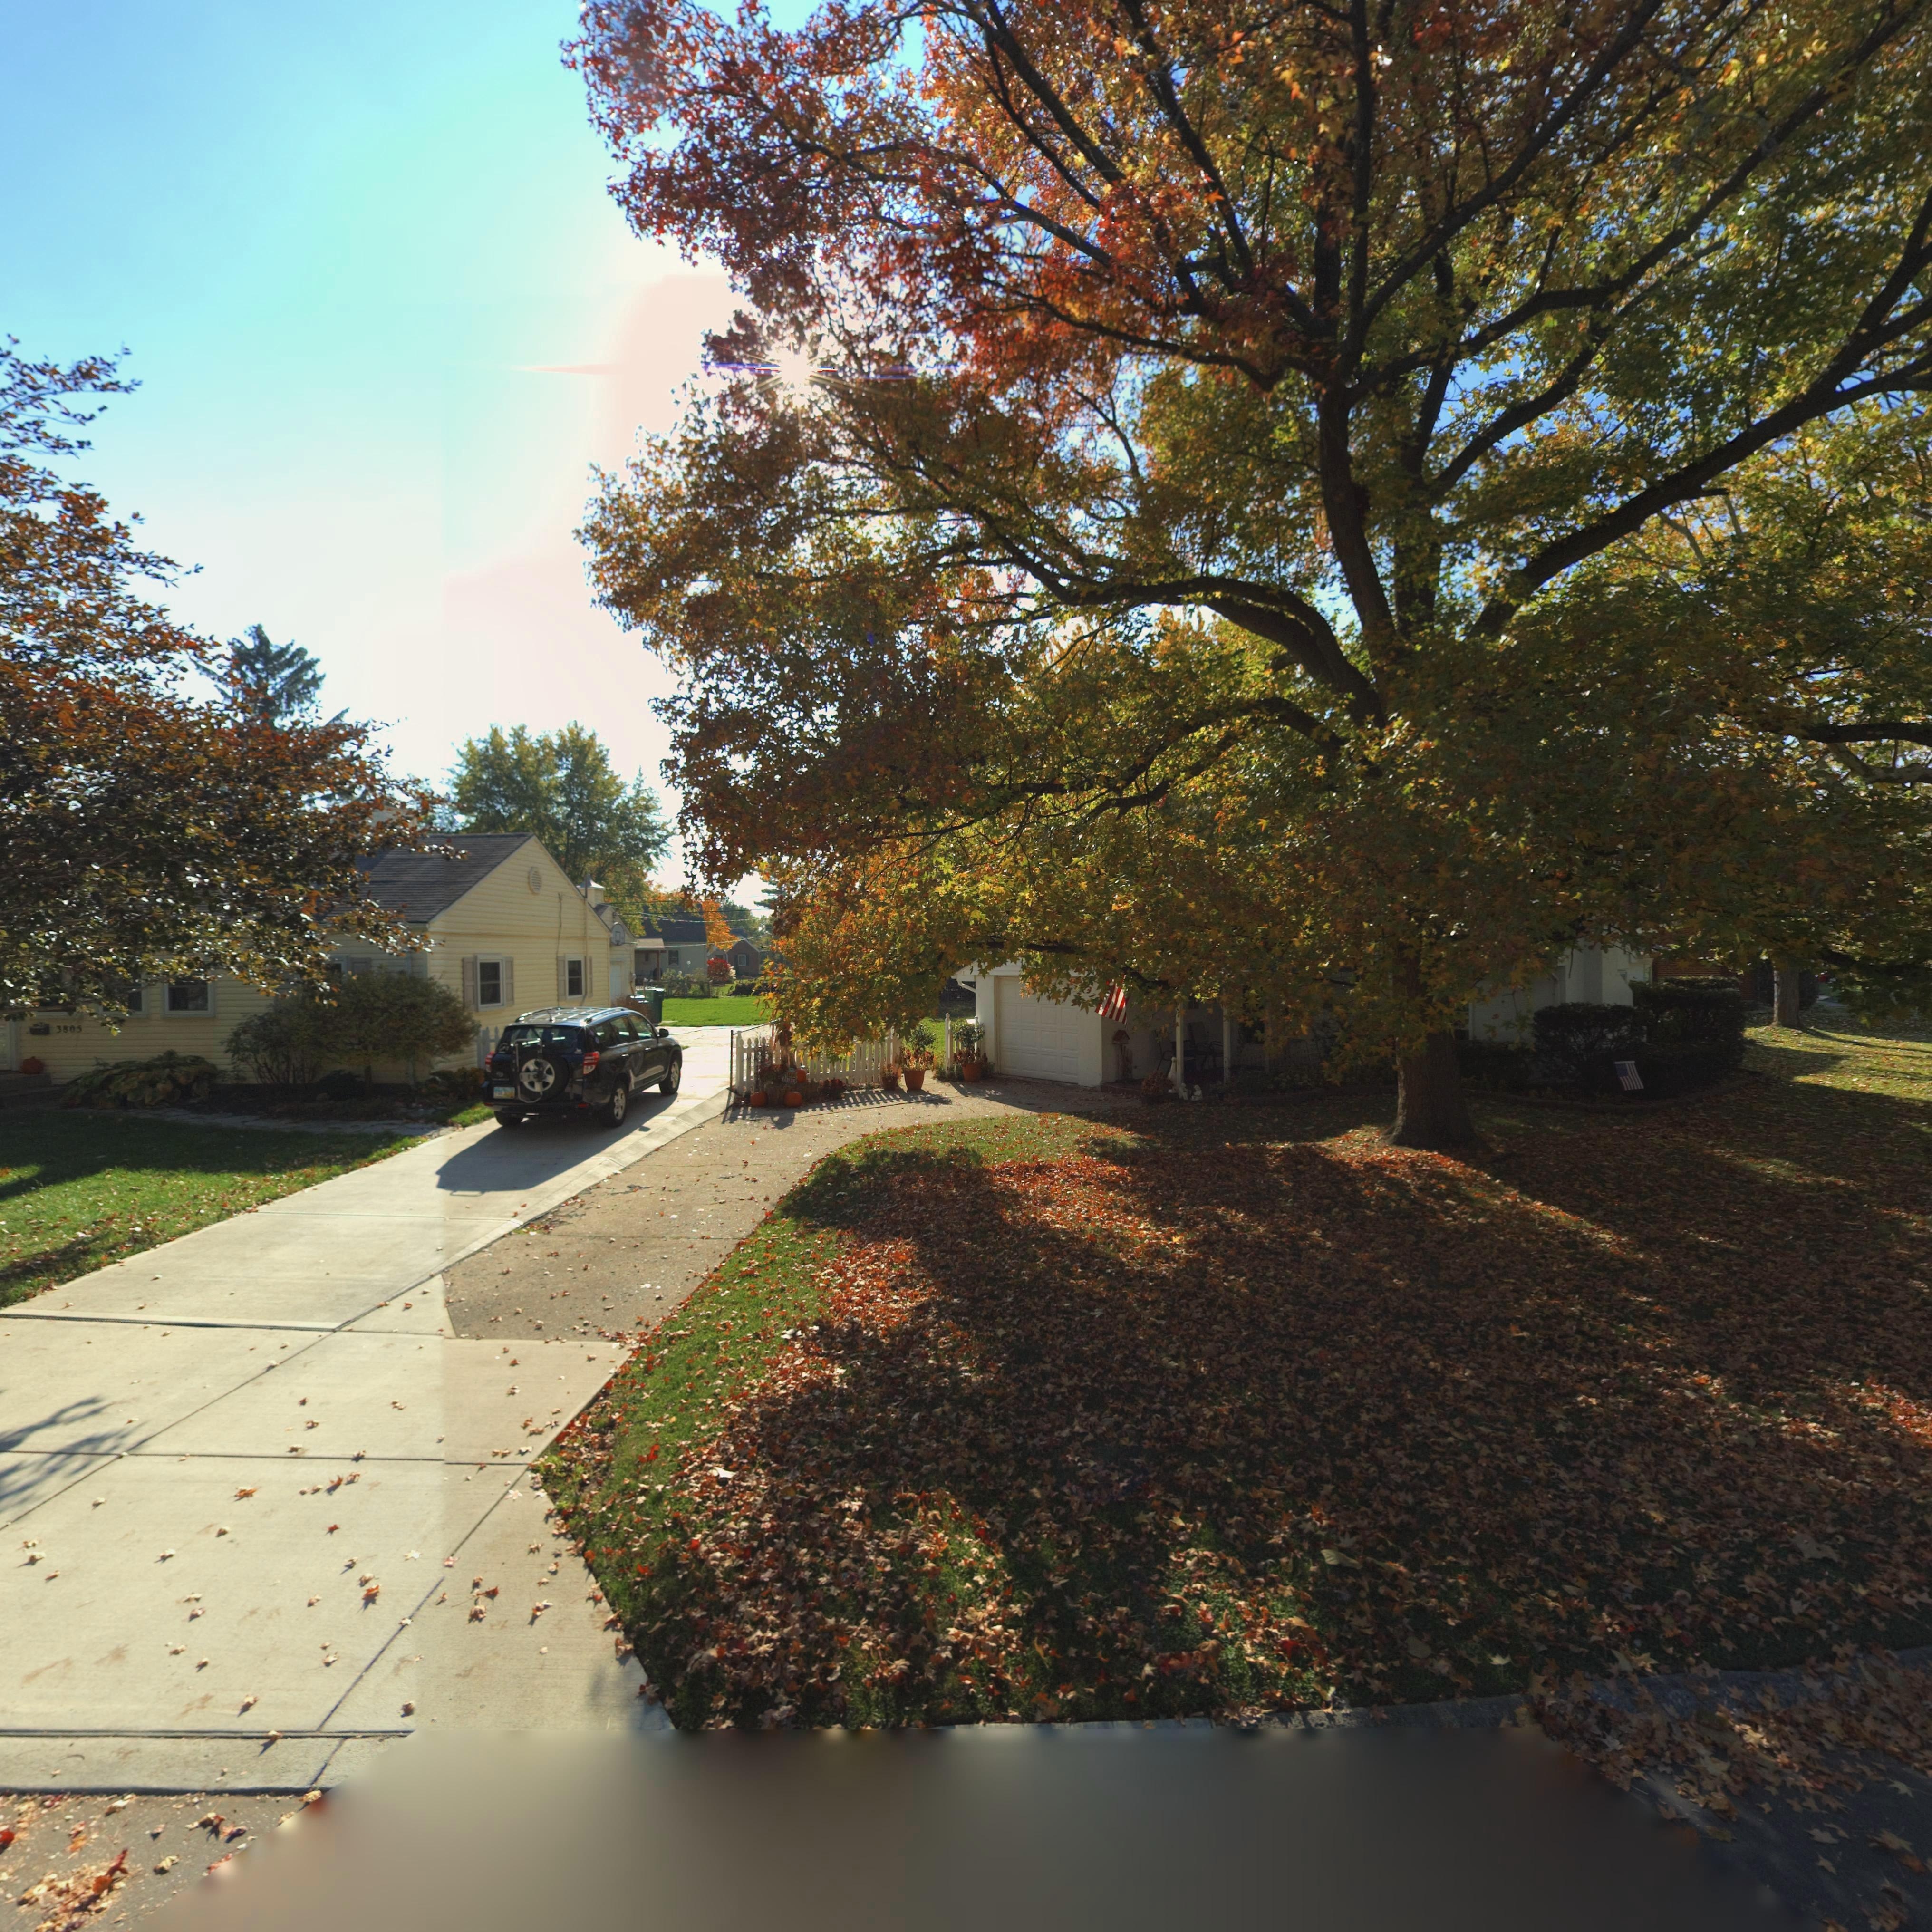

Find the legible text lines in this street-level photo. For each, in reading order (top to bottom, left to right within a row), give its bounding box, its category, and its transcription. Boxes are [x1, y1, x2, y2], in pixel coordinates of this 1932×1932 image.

[1176, 1005, 1180, 1011] StreetNumber: 0